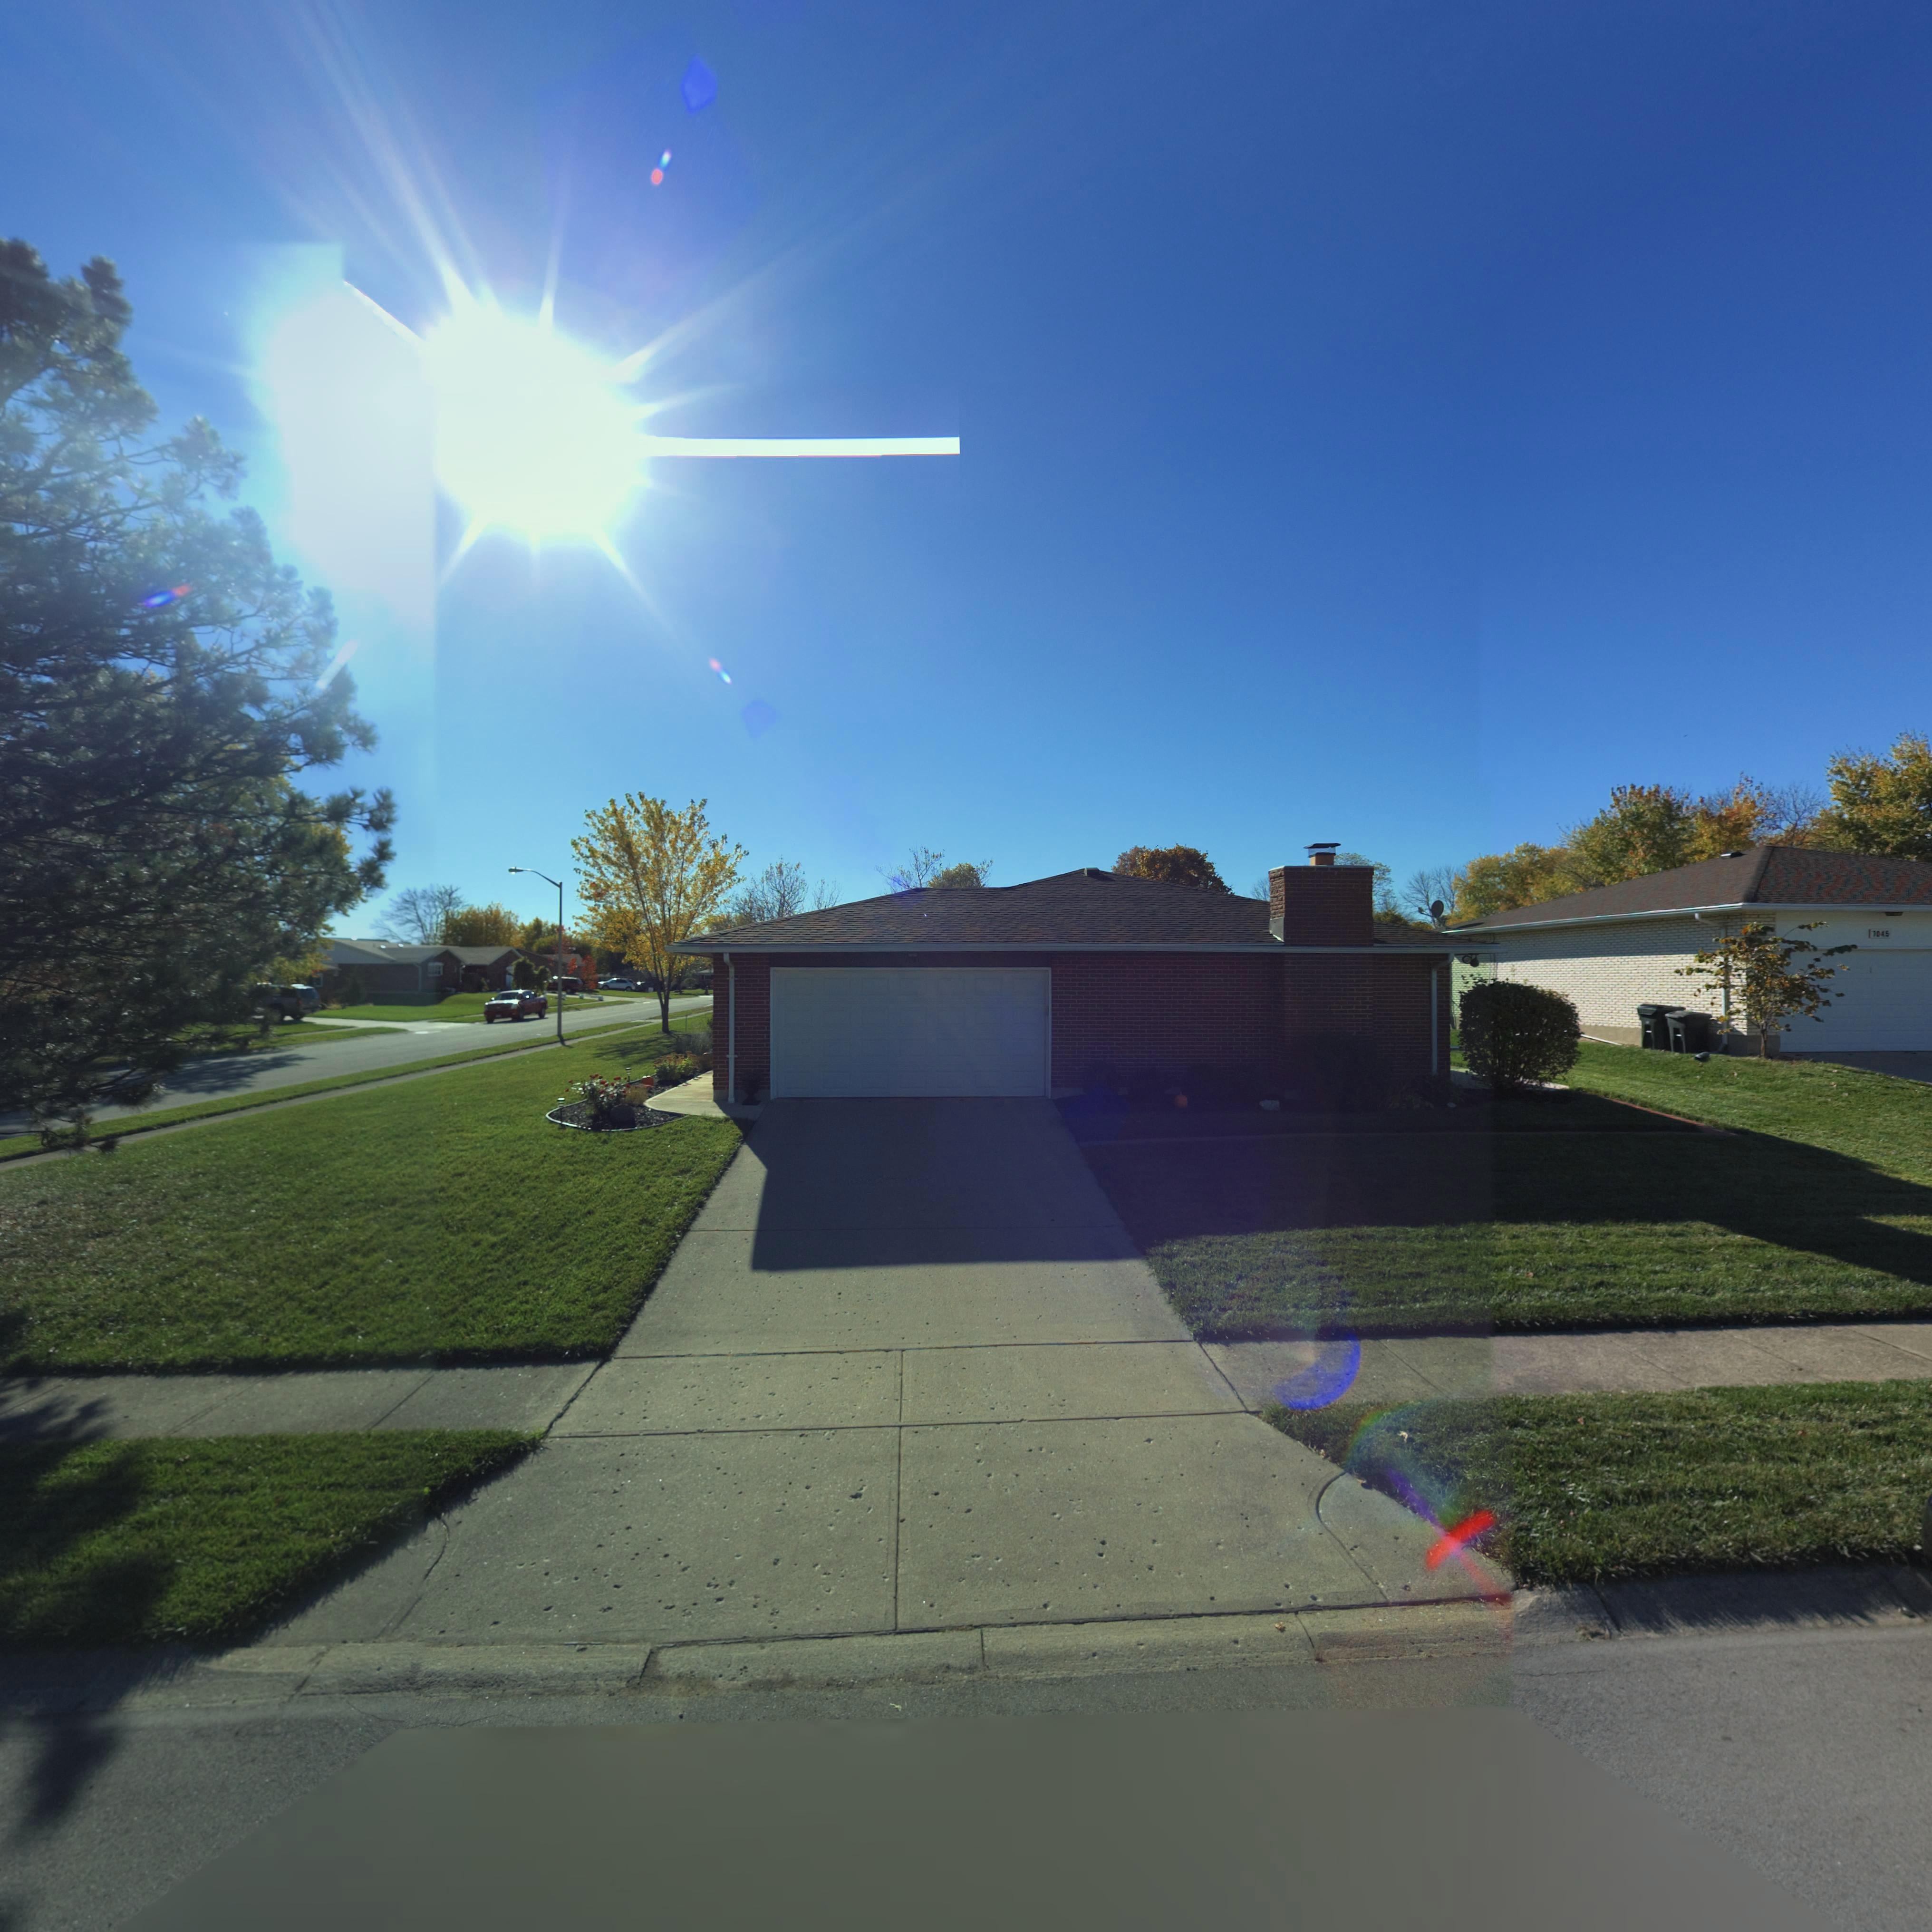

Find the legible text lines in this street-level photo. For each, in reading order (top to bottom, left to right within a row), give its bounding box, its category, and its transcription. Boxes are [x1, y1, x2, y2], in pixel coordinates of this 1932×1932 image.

[1872, 930, 1889, 937] StreetNumber: 7045